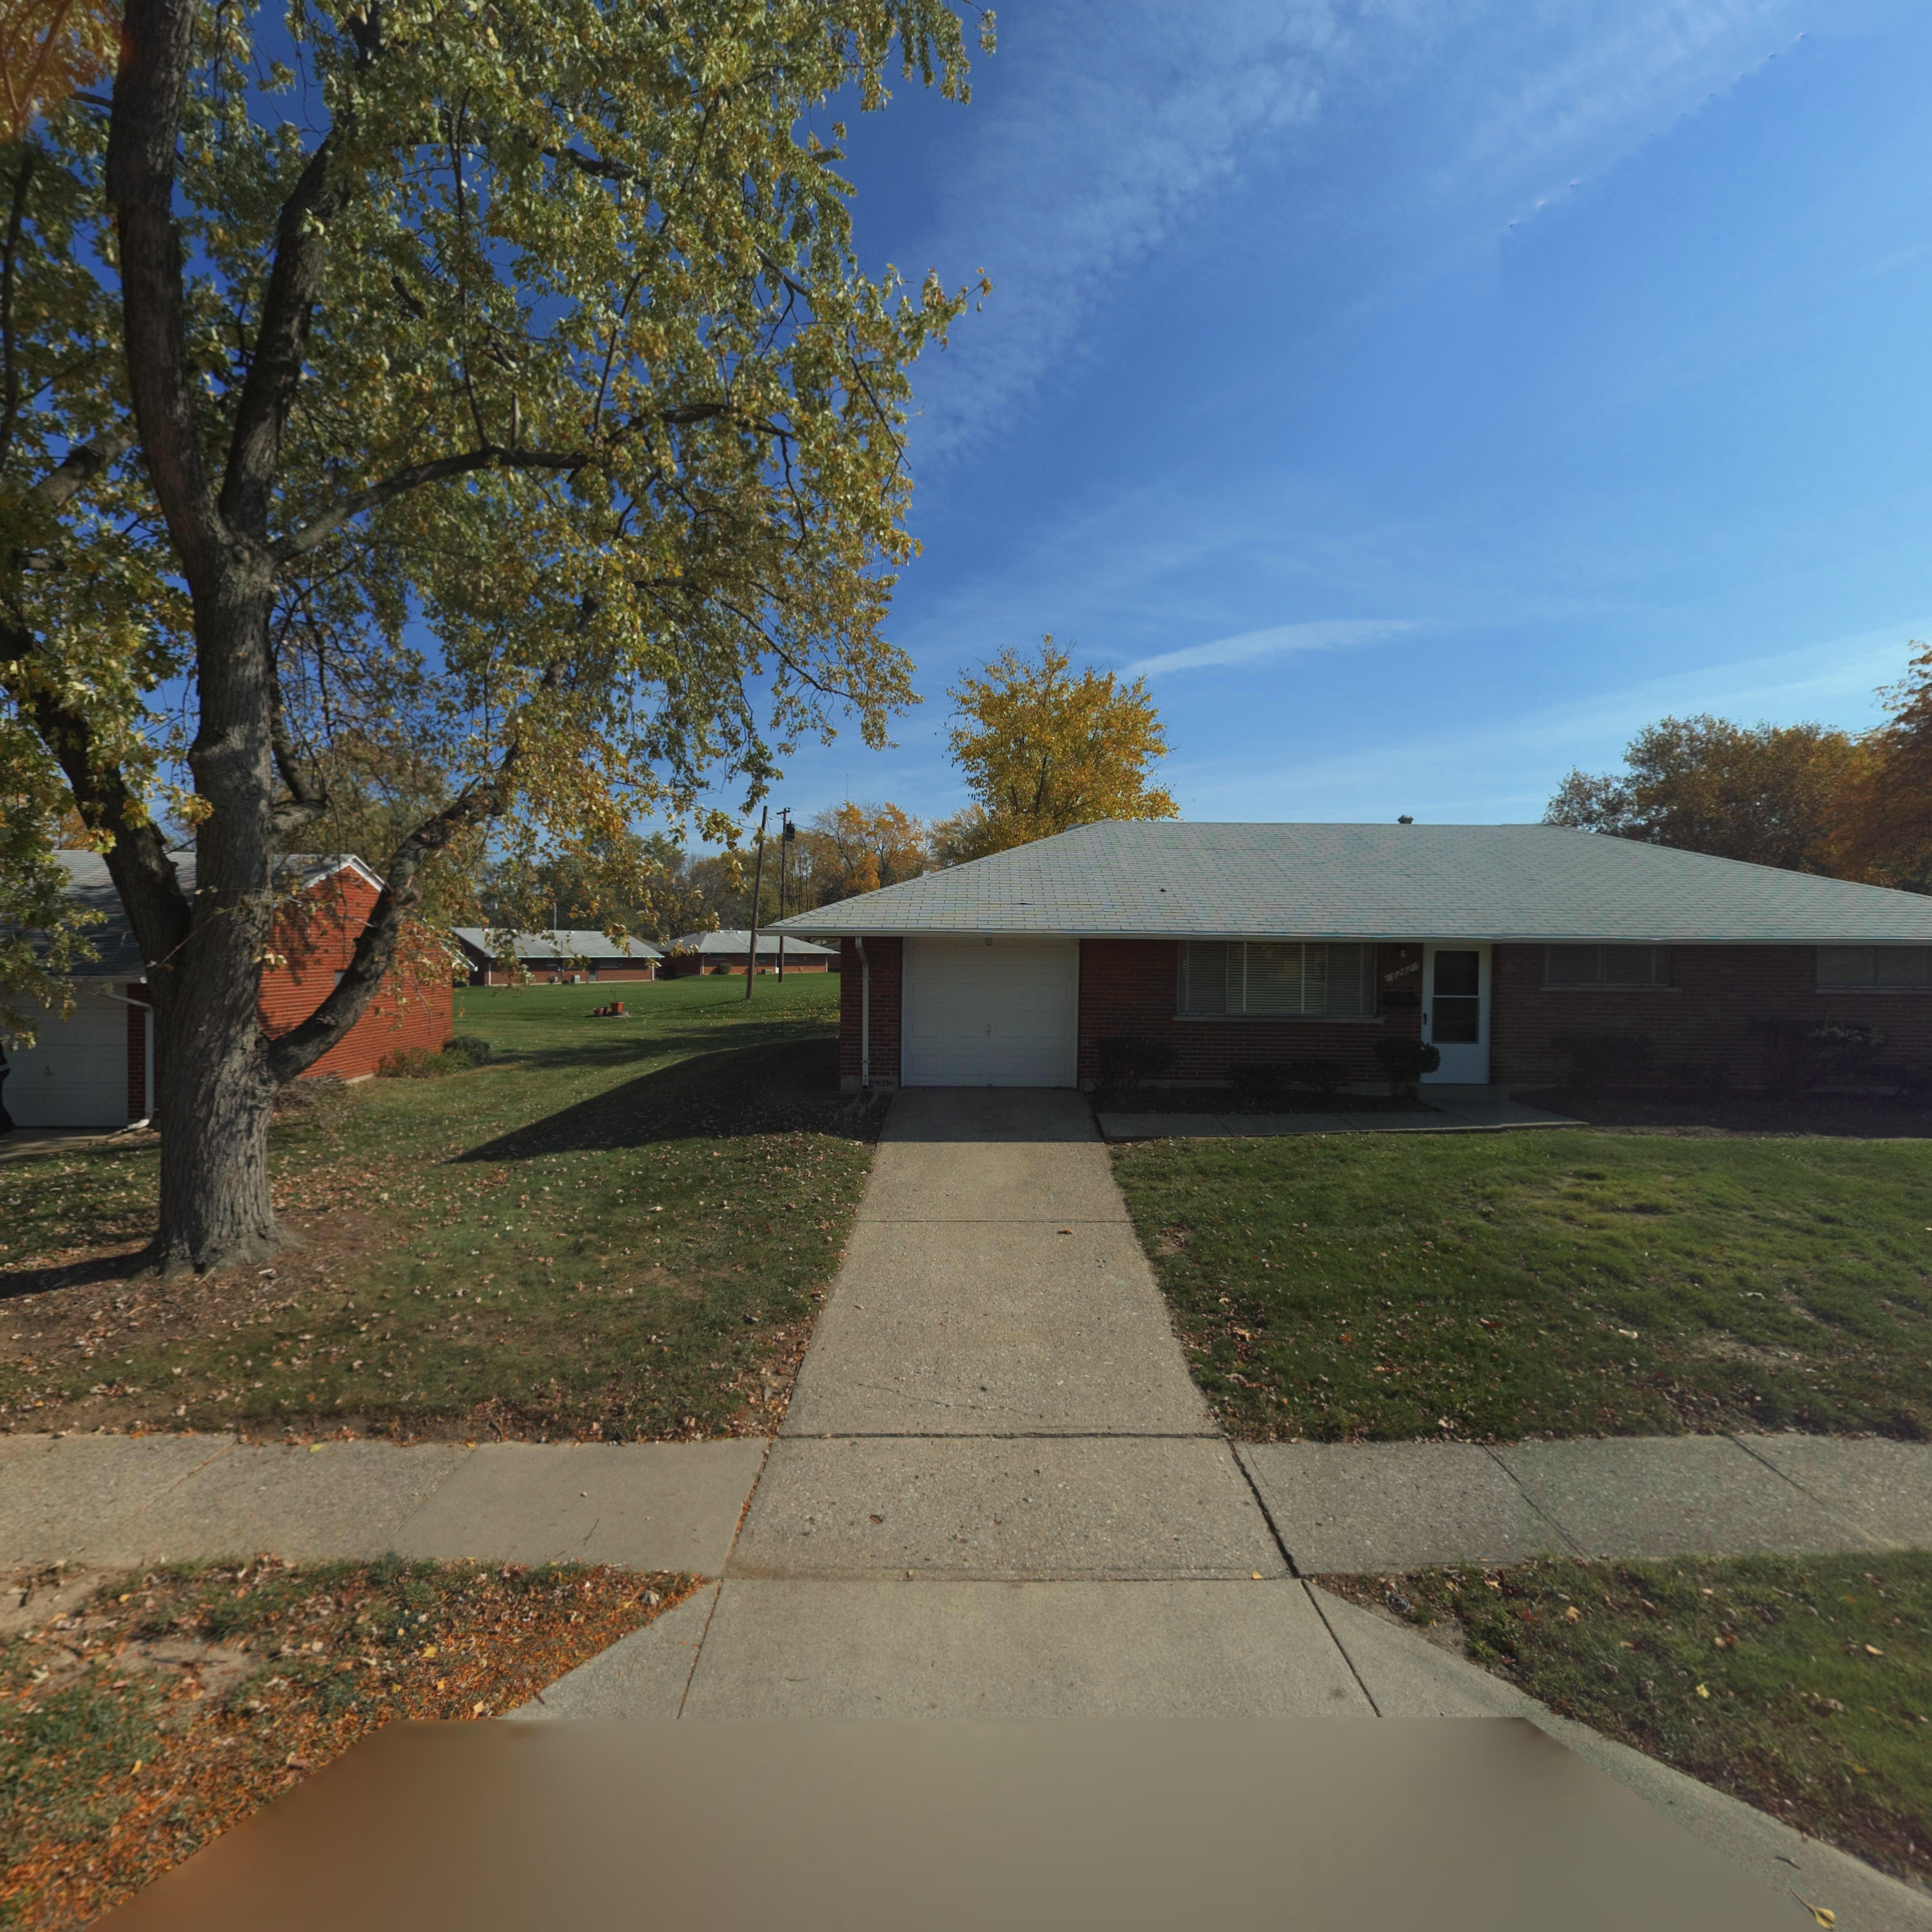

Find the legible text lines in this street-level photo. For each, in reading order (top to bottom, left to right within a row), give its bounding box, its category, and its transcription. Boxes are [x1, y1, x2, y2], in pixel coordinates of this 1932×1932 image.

[1390, 964, 1413, 980] StreetNumber: 4242